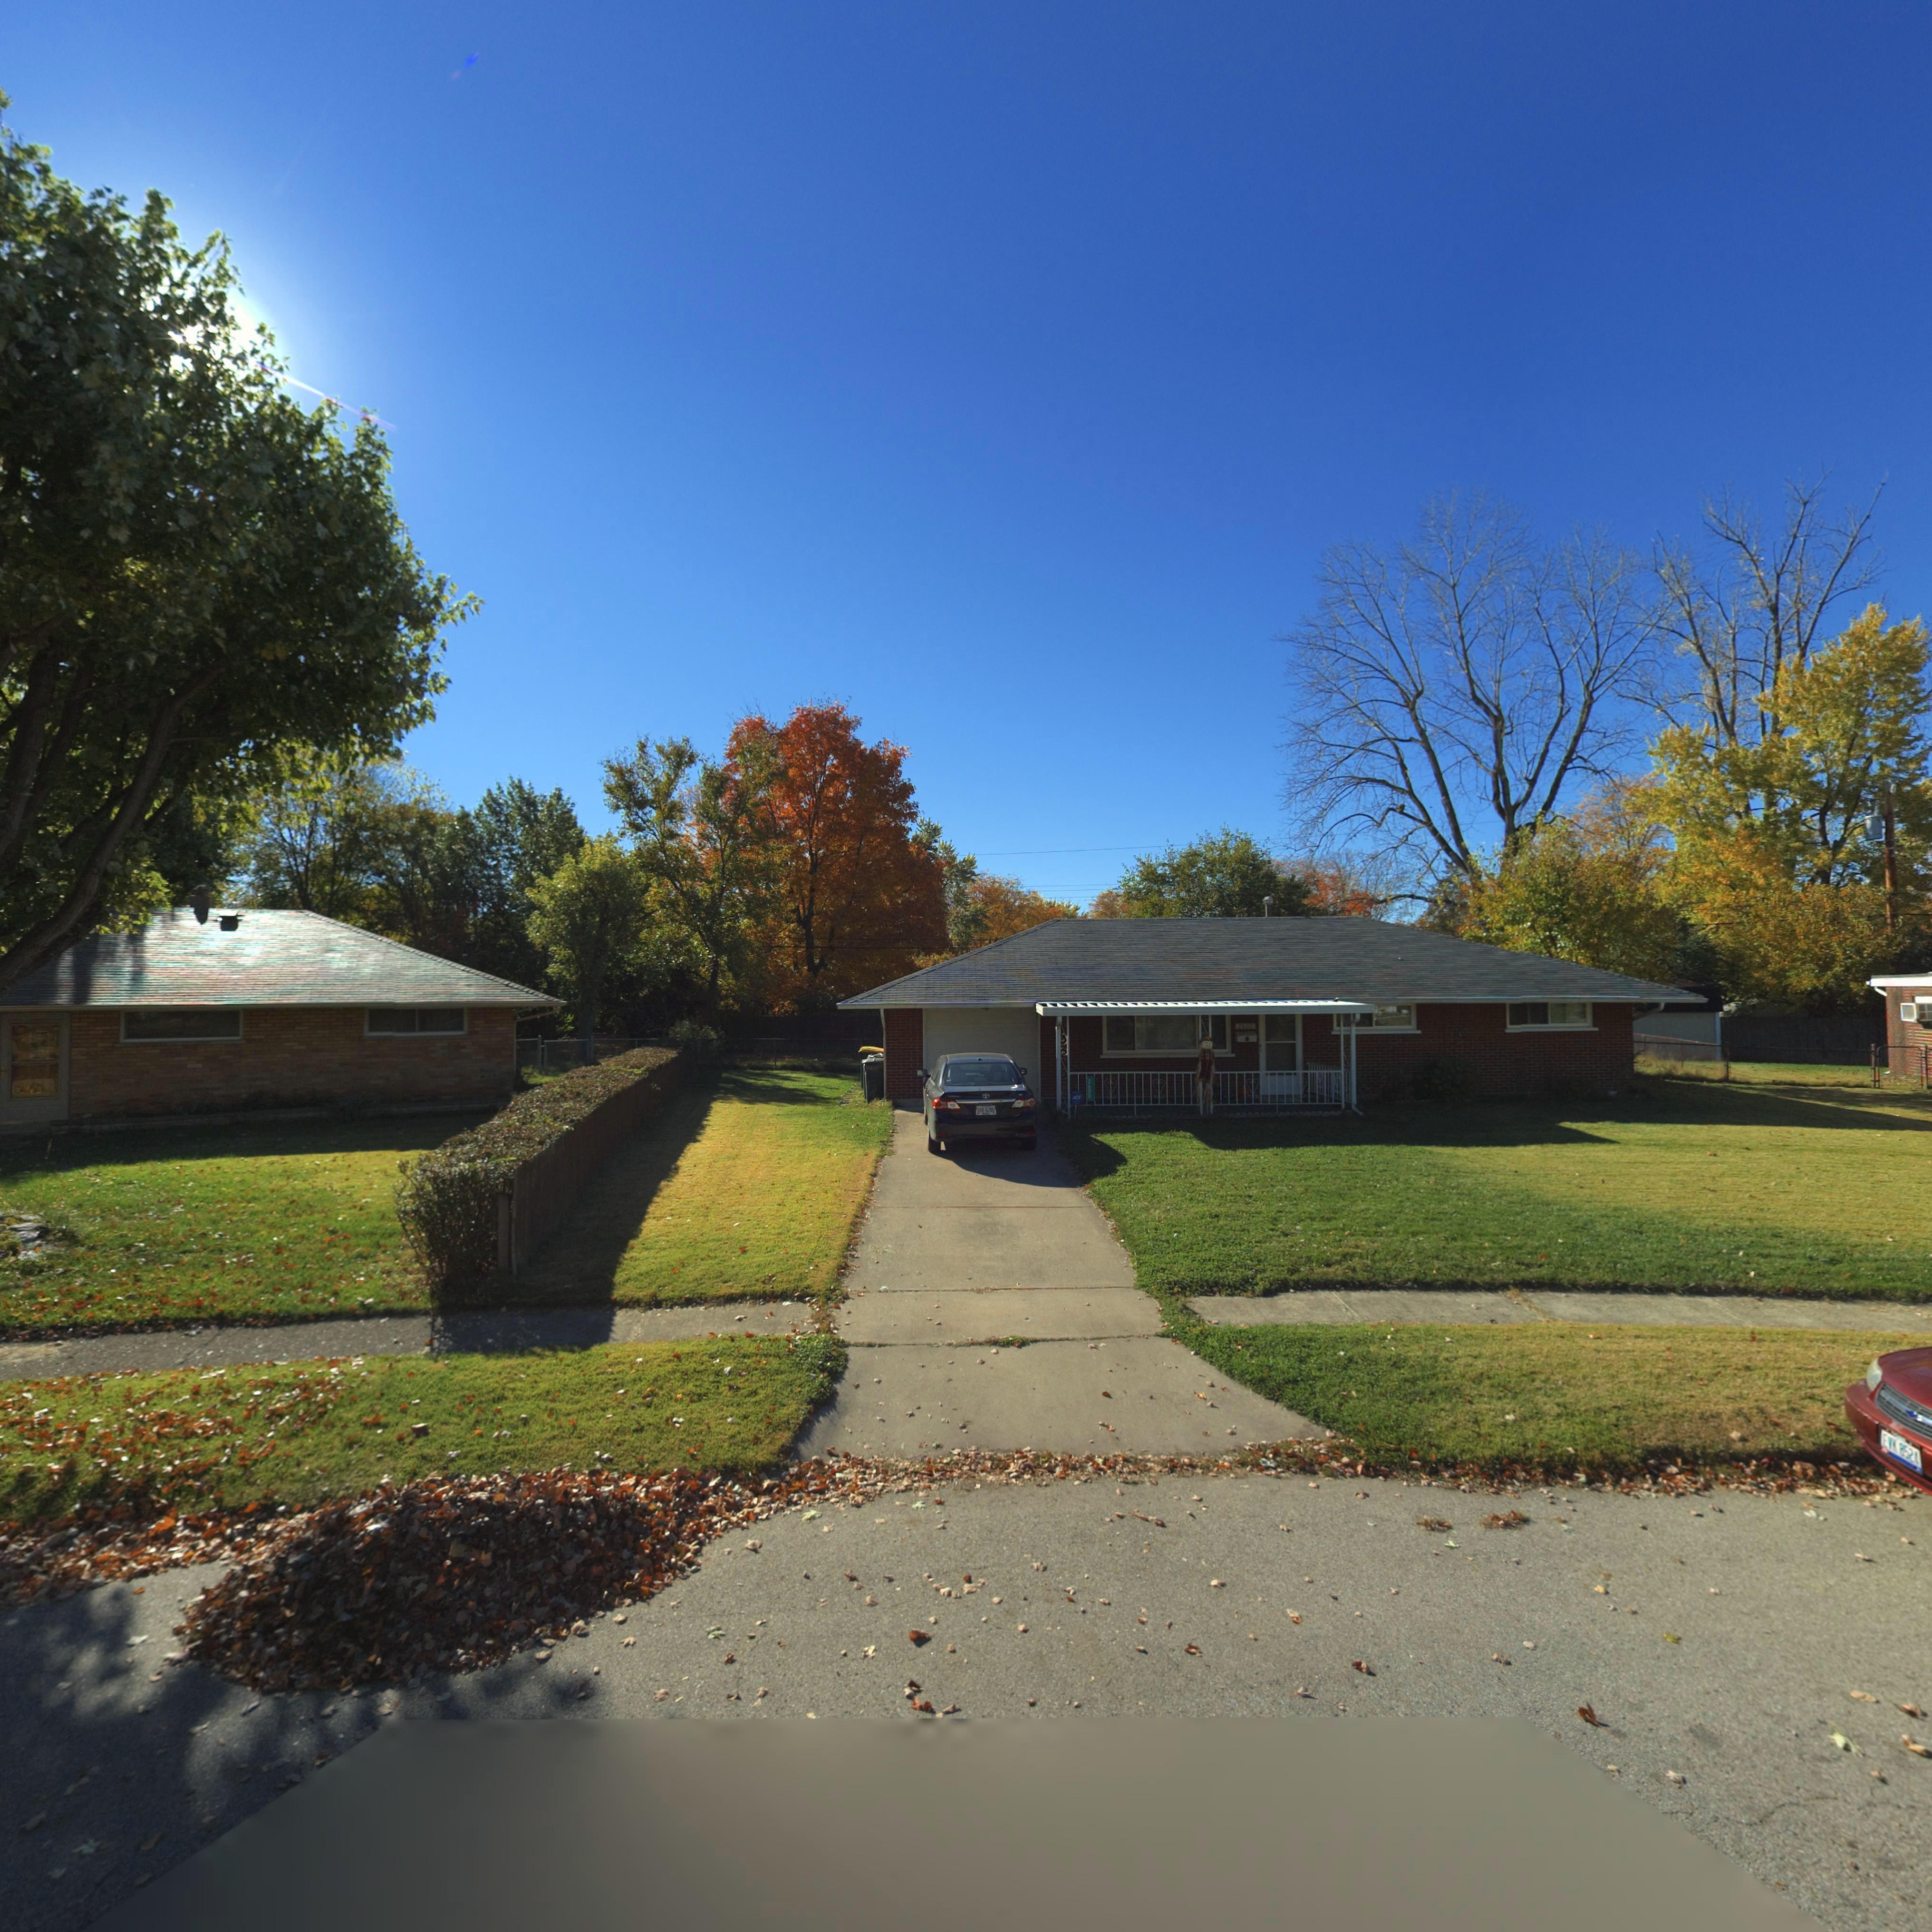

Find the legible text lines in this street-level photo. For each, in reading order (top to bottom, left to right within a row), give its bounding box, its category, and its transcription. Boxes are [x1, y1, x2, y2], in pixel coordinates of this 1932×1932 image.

[1237, 1023, 1254, 1030] StreetNumber: 2600